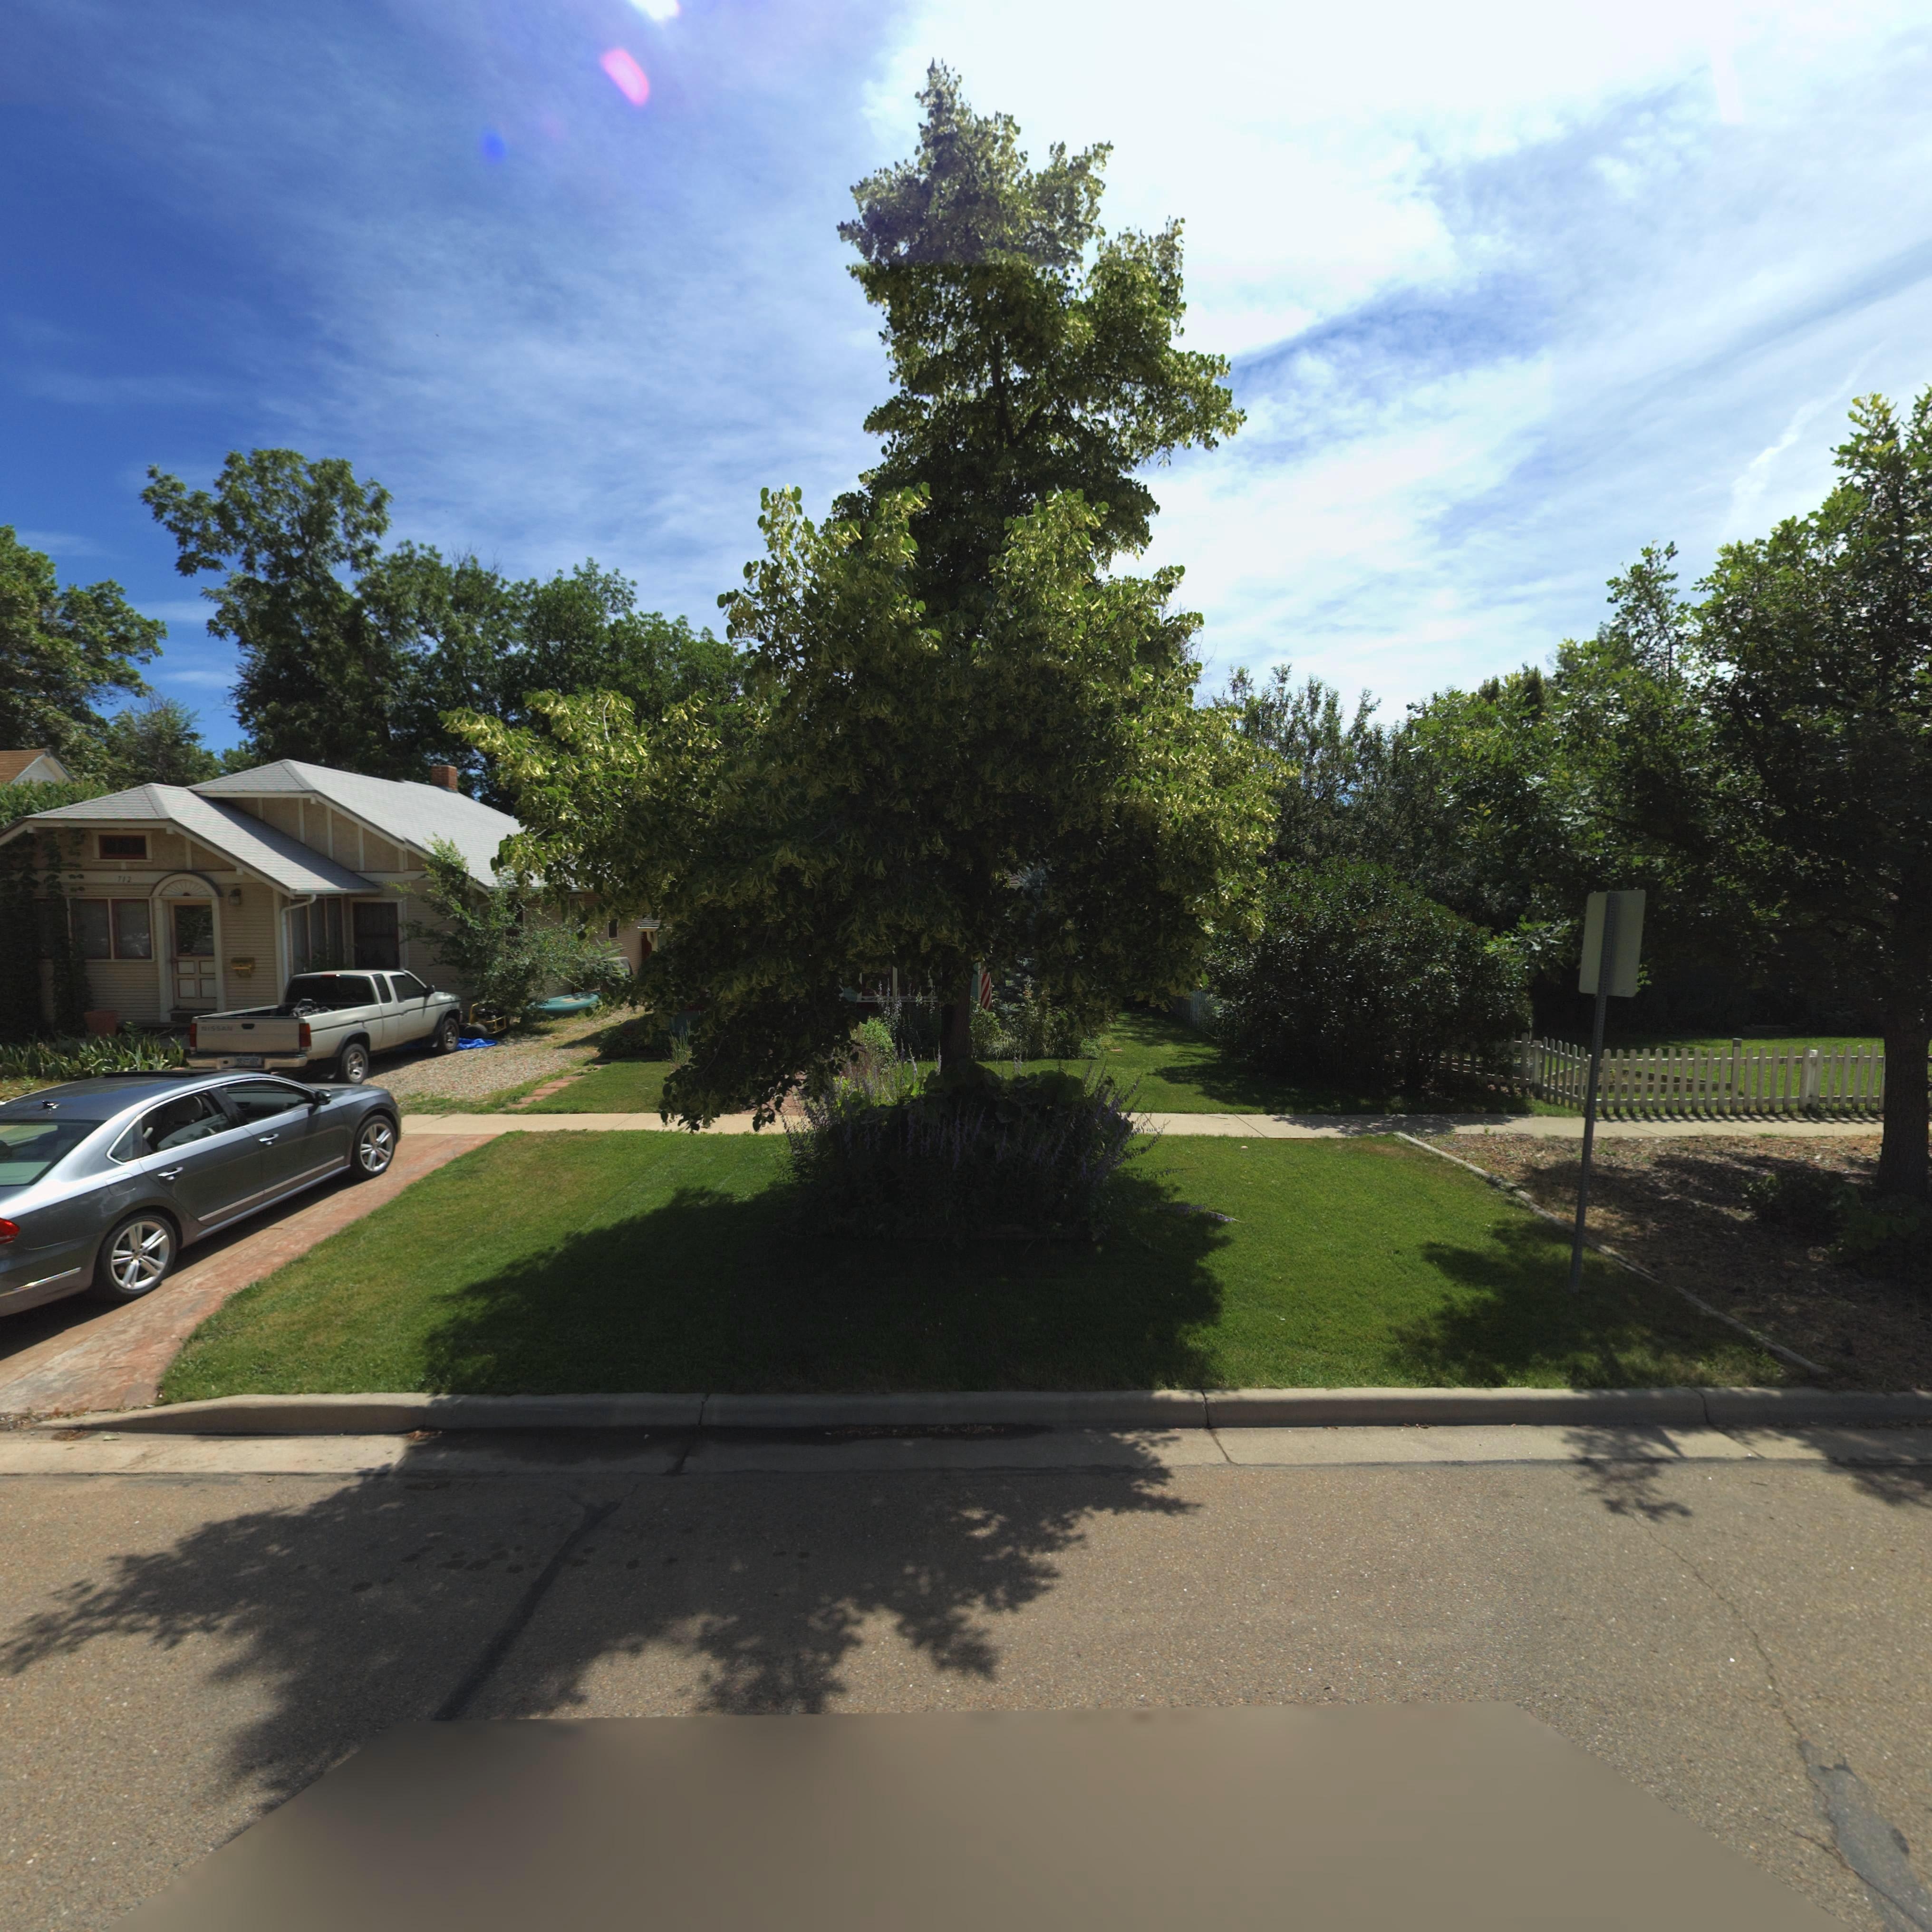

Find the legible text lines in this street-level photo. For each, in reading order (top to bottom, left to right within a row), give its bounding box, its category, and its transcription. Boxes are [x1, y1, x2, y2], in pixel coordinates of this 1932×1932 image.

[116, 875, 132, 883] StreetNumber: 312